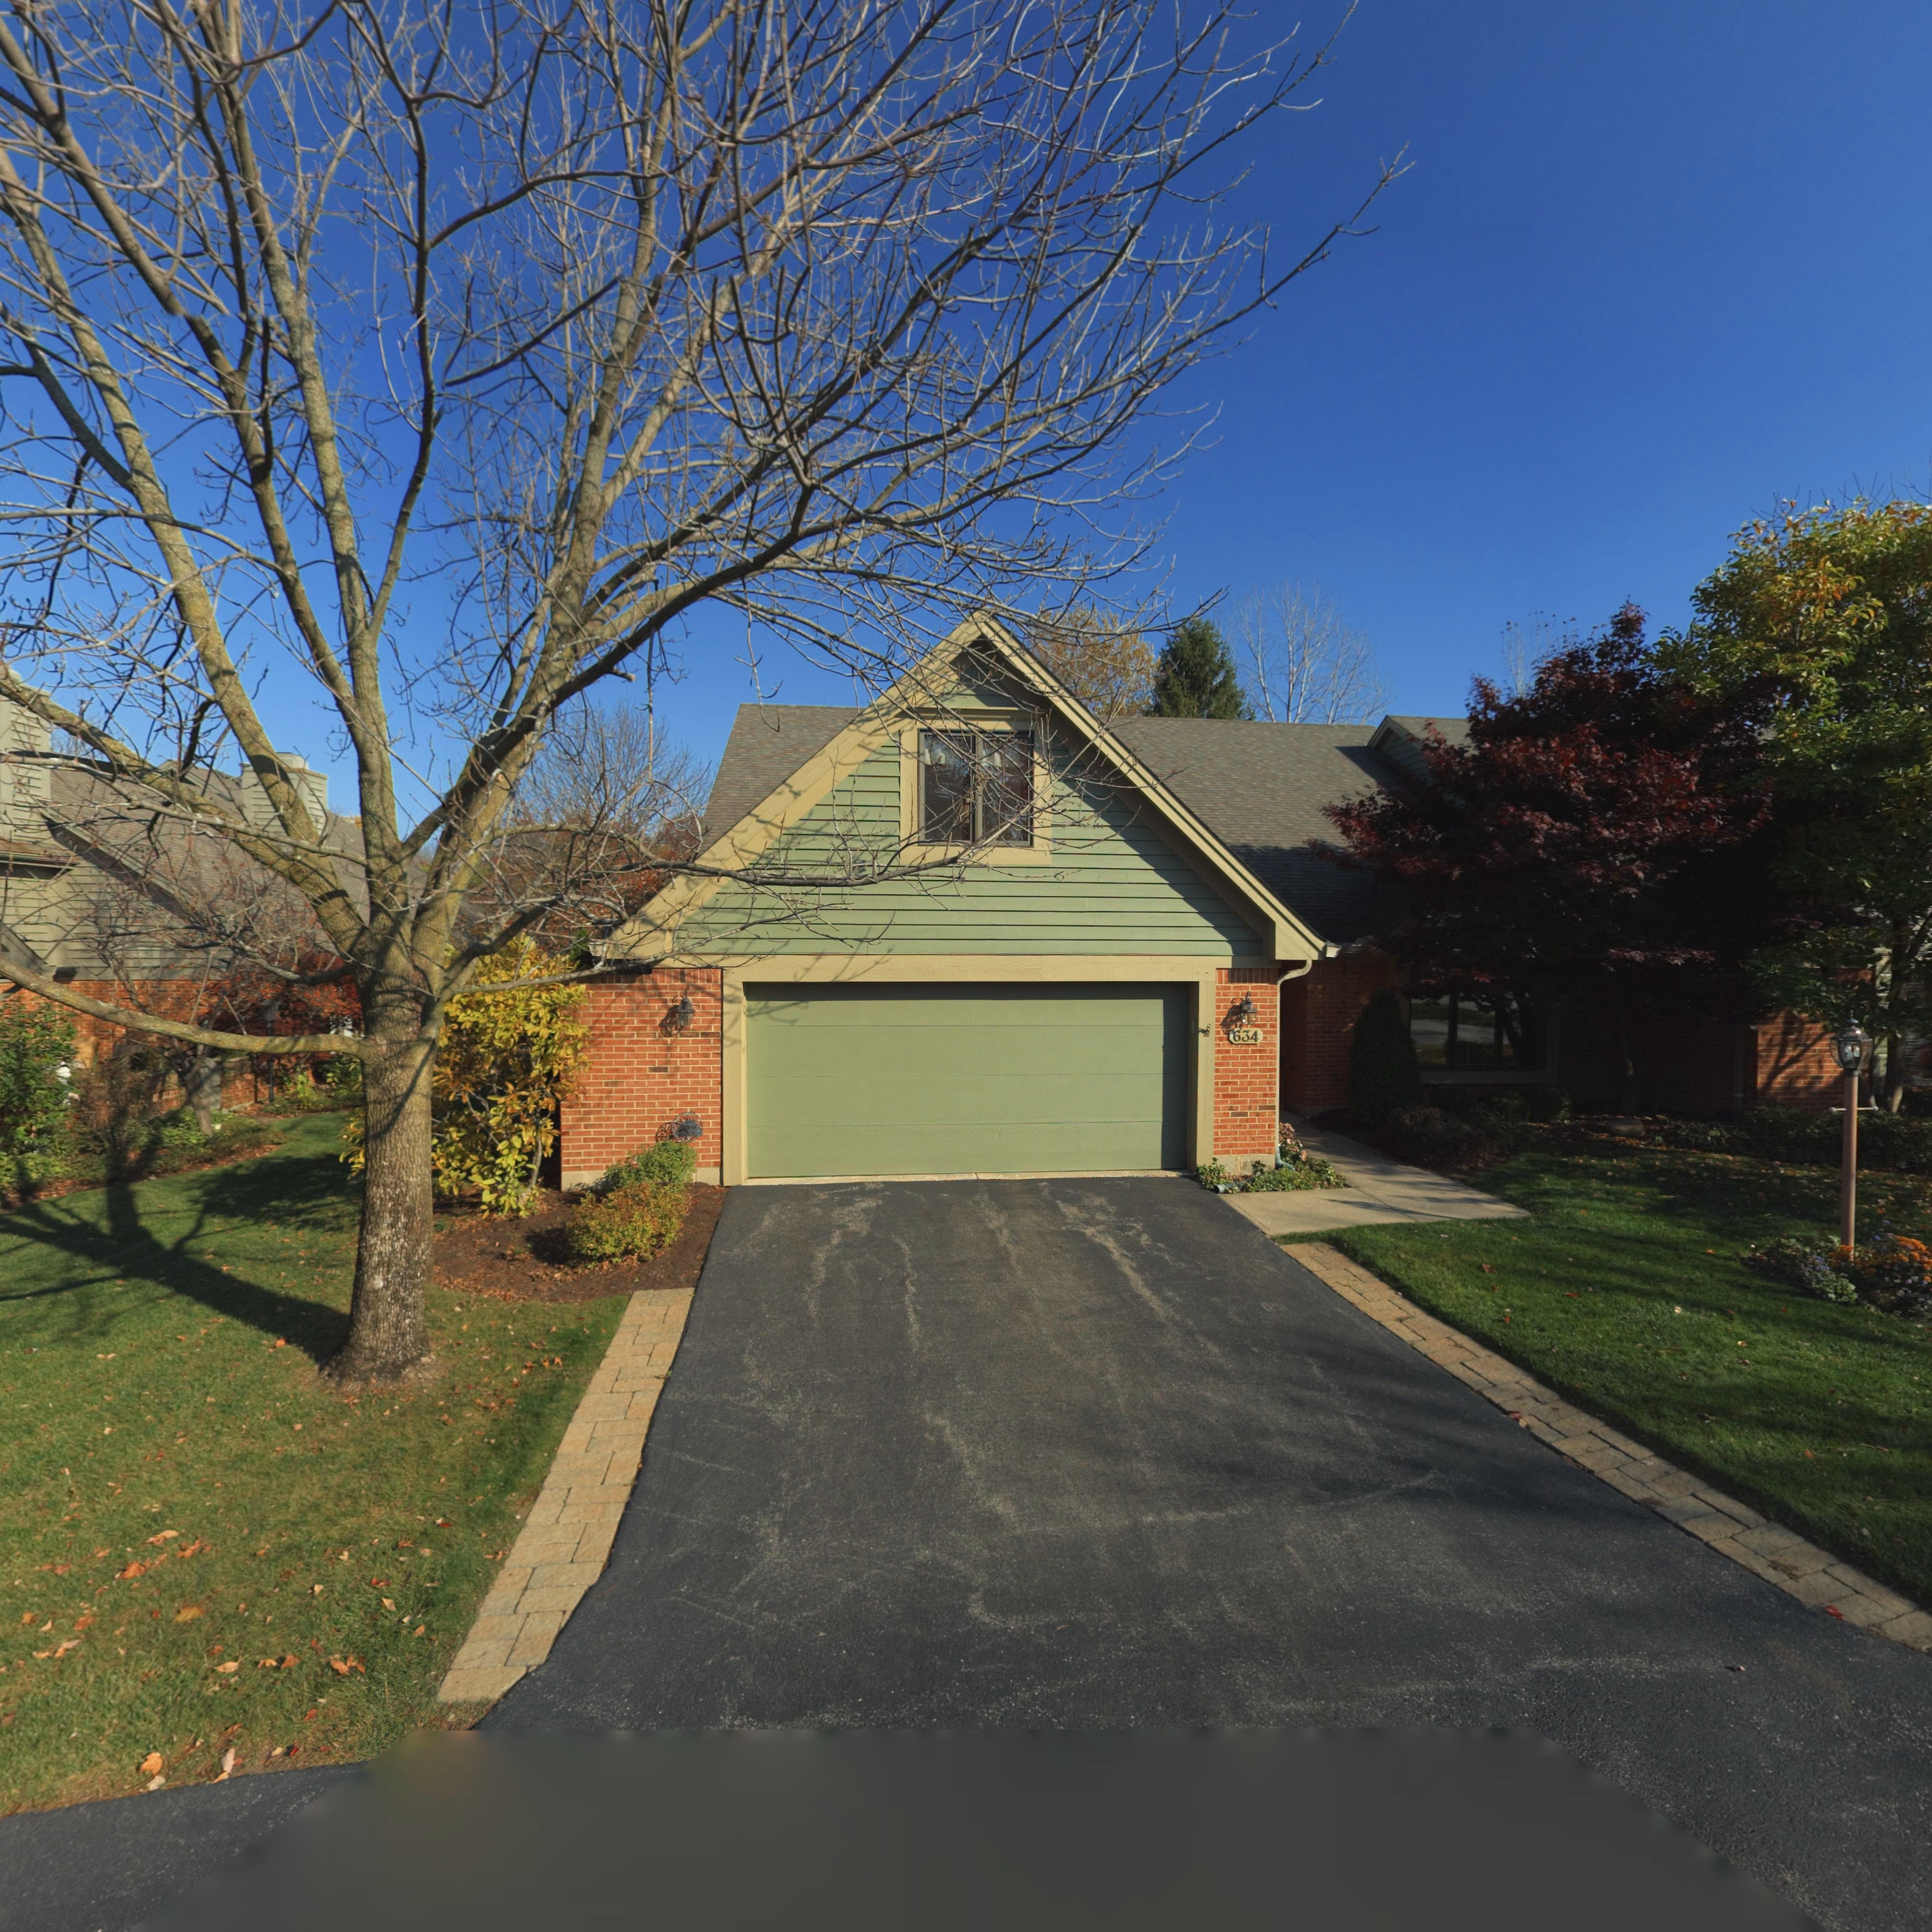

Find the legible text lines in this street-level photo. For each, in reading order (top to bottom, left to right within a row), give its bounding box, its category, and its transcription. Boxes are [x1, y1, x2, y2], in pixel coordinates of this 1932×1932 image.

[1233, 1029, 1259, 1043] StreetNumber: 634